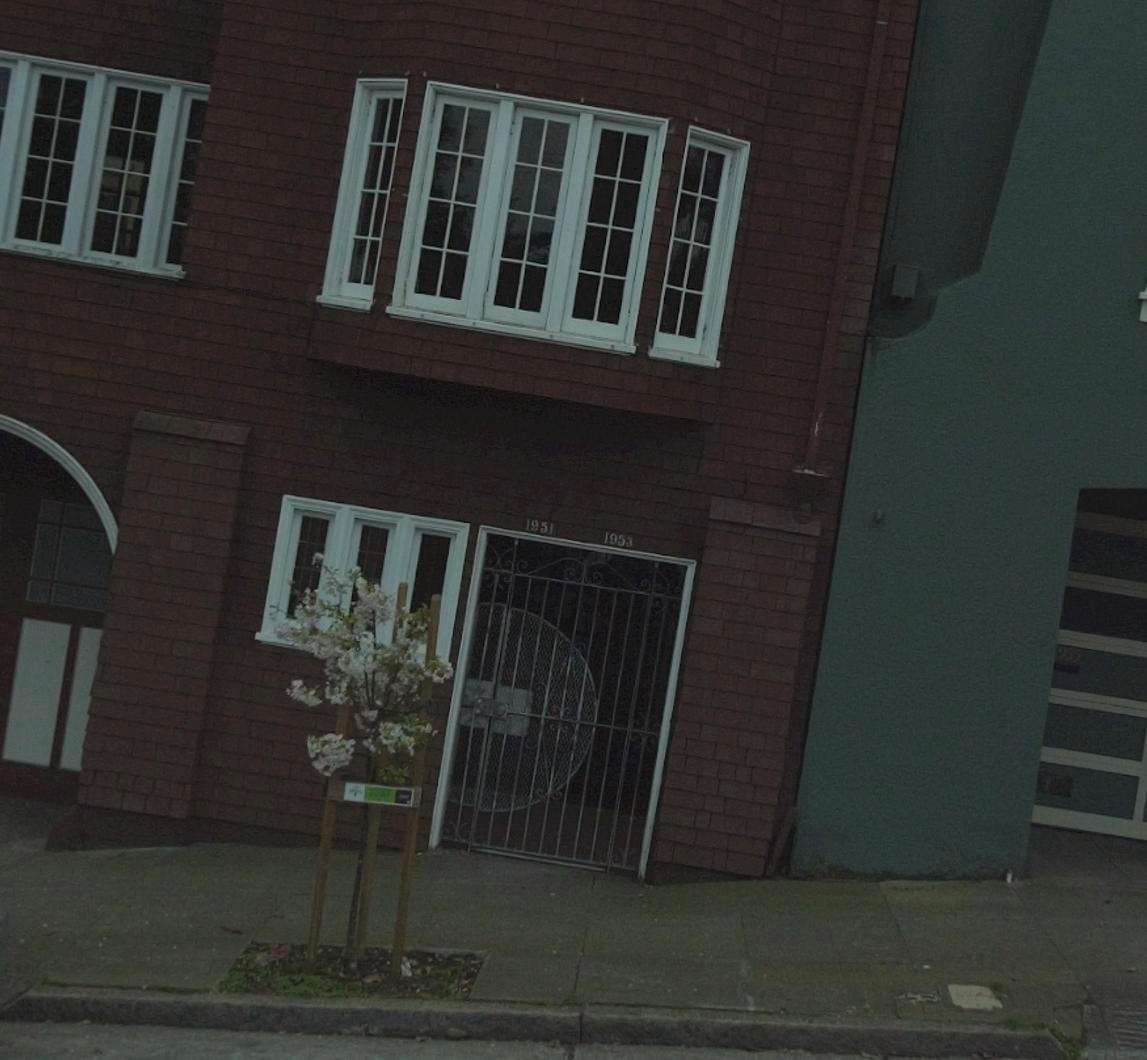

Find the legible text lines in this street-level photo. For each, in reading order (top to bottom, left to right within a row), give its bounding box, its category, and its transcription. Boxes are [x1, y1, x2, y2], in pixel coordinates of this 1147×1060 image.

[523, 518, 556, 536] StreetNumber: 1951
[602, 530, 634, 549] StreetNumber: 1953
[1056, 645, 1081, 666] StreetNumber: 955